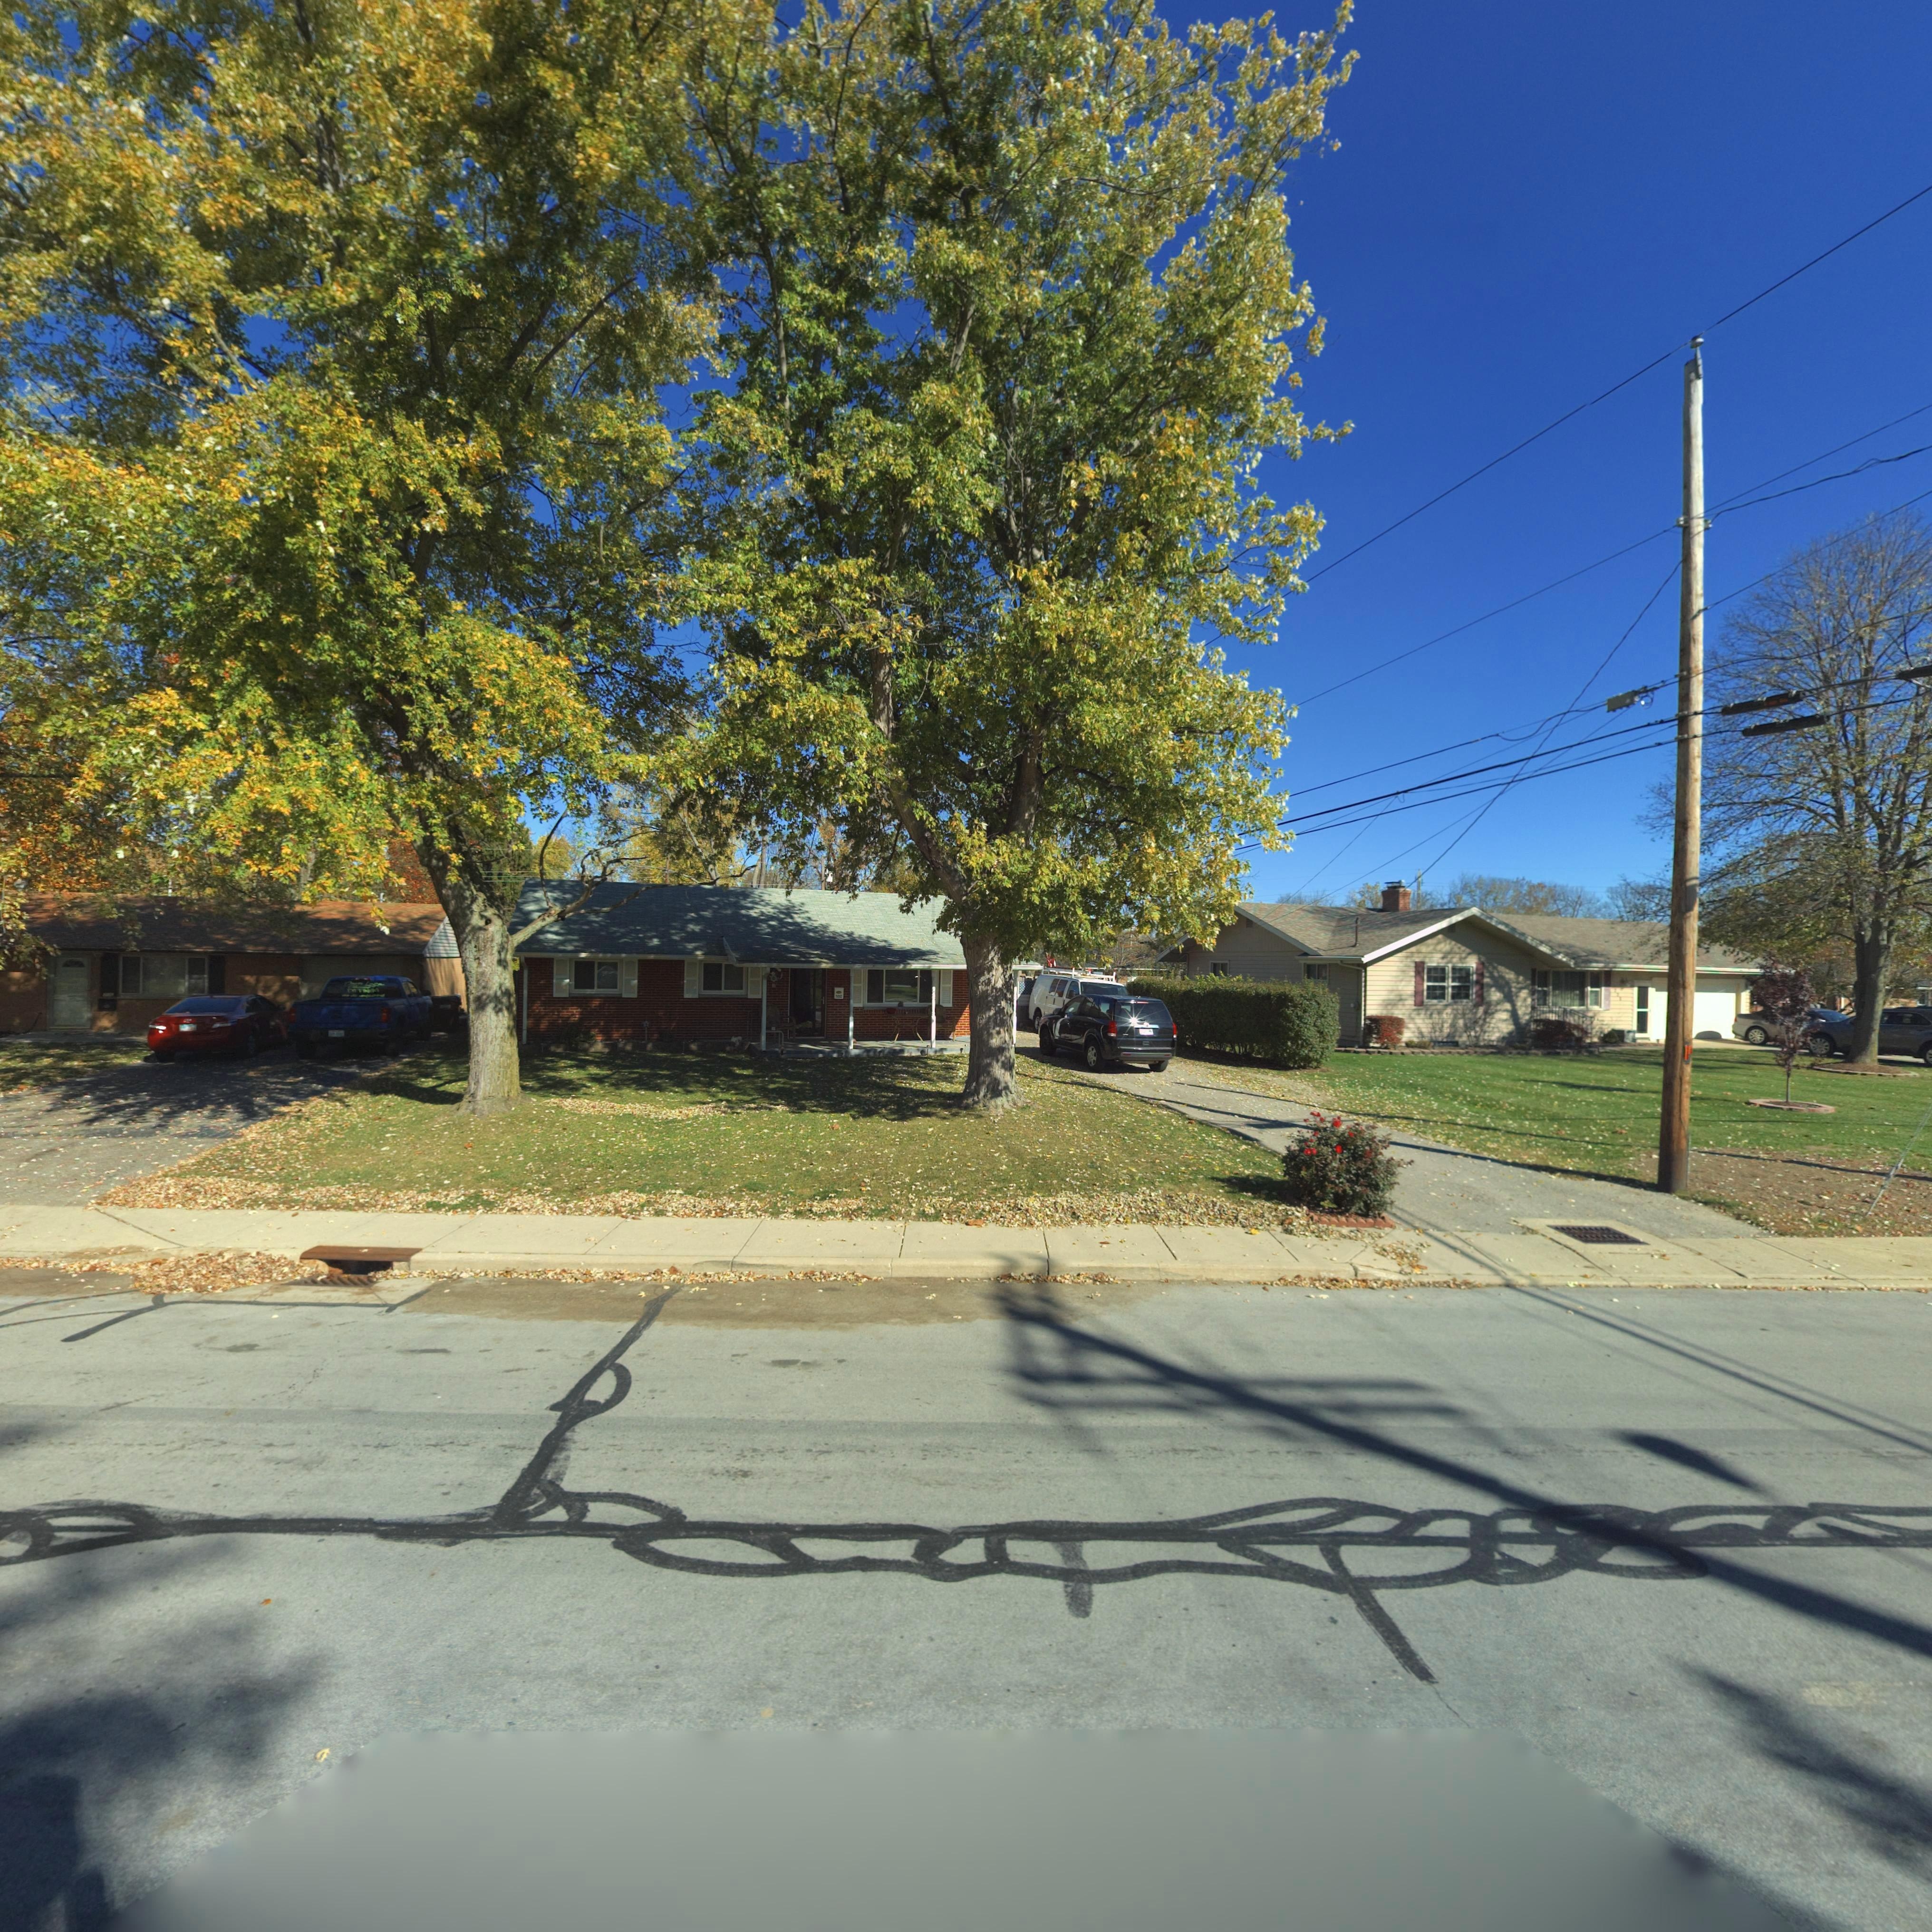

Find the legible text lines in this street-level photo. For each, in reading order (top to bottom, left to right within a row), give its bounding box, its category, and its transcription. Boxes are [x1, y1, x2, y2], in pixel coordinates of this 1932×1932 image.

[835, 994, 842, 998] StreetNumber: 302